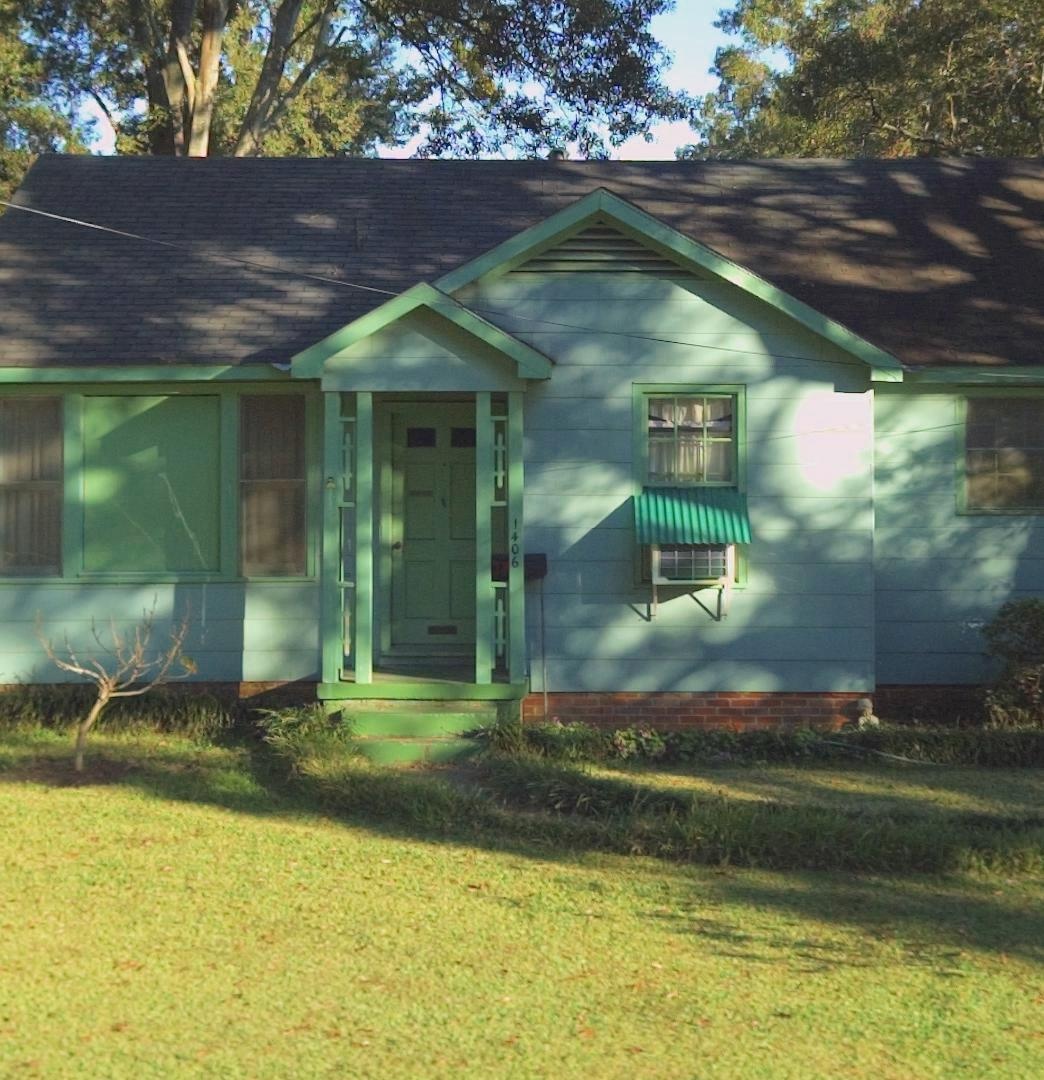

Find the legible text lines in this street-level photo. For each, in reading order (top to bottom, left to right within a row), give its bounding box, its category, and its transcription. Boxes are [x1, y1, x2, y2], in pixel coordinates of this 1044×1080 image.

[509, 516, 522, 571] StreetNumber: 1406